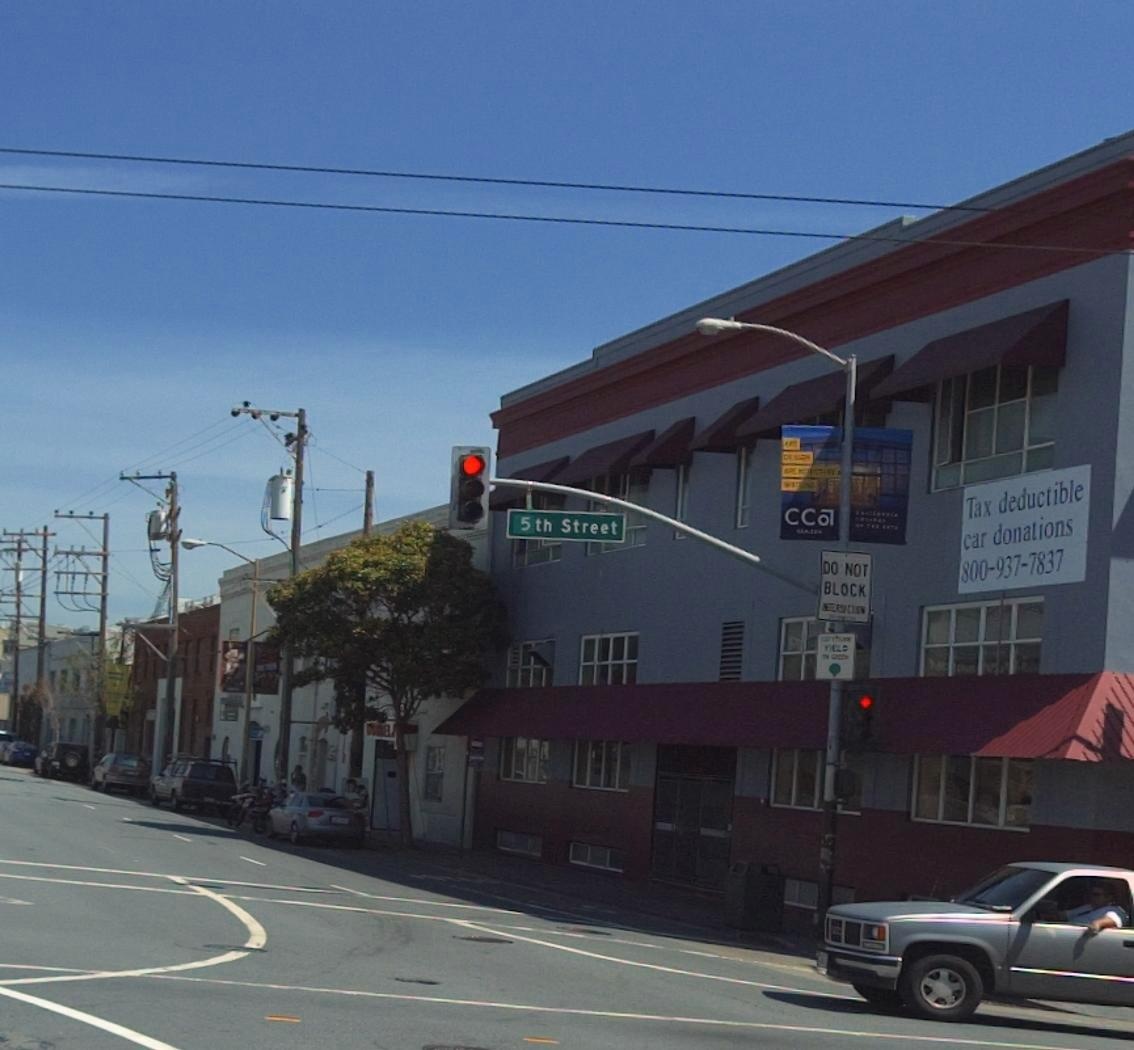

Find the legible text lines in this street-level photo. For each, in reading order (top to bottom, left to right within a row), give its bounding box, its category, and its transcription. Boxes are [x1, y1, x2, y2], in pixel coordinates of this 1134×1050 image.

[965, 477, 1083, 521] None: Tax deductible
[519, 515, 621, 537] StreetName: 5th Street
[781, 507, 817, 527] None: CC
[961, 513, 1074, 551] None: car donations
[821, 559, 870, 578] None: DO NOT
[959, 547, 1065, 585] None: 800-937-7837
[822, 580, 867, 598] None: BLOCK